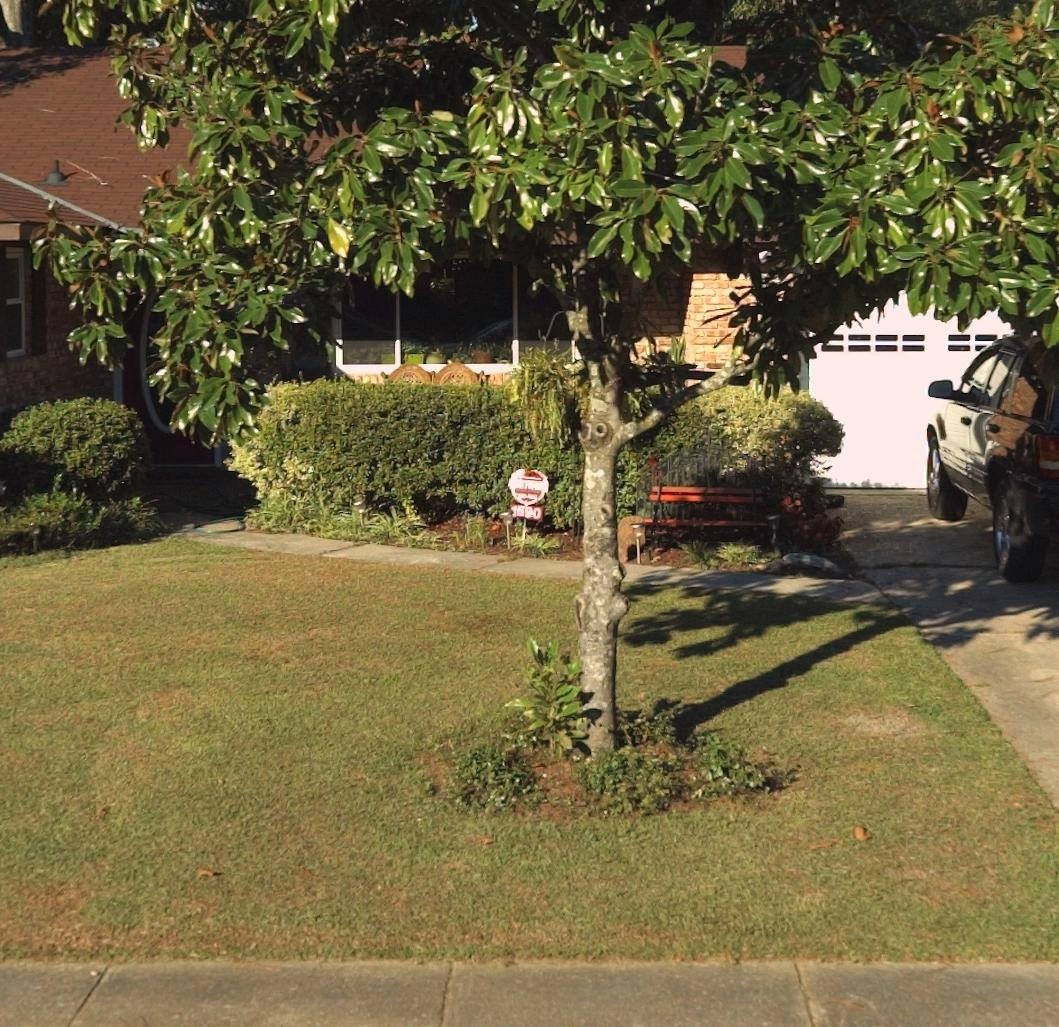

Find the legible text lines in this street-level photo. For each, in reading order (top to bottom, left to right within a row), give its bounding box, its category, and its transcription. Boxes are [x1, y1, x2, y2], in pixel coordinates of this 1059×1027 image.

[510, 504, 542, 520] StreetNumber: 1590